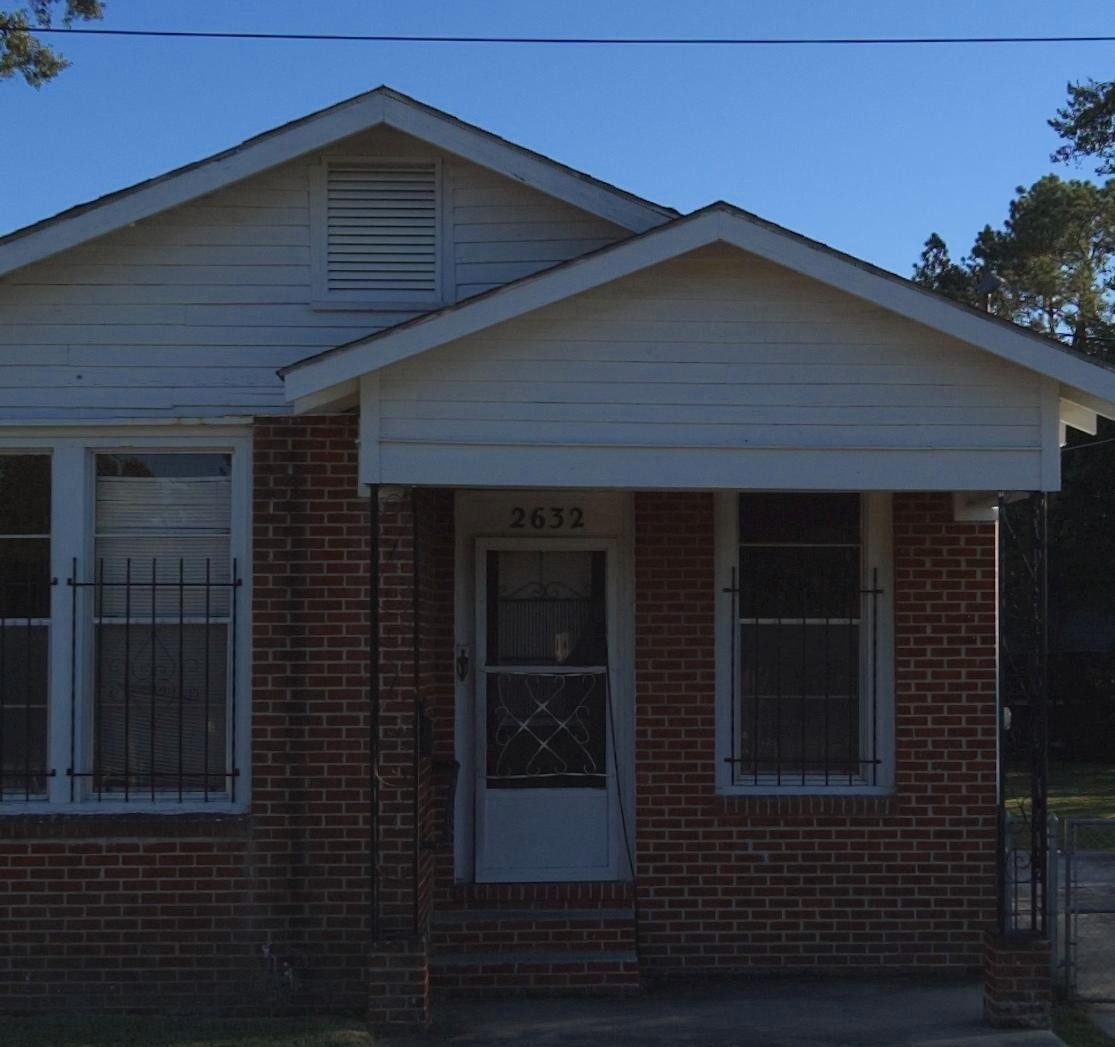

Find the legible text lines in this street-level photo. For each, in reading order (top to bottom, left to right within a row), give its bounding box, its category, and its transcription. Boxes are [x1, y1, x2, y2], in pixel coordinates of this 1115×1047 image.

[507, 504, 587, 531] StreetNumber: 2632